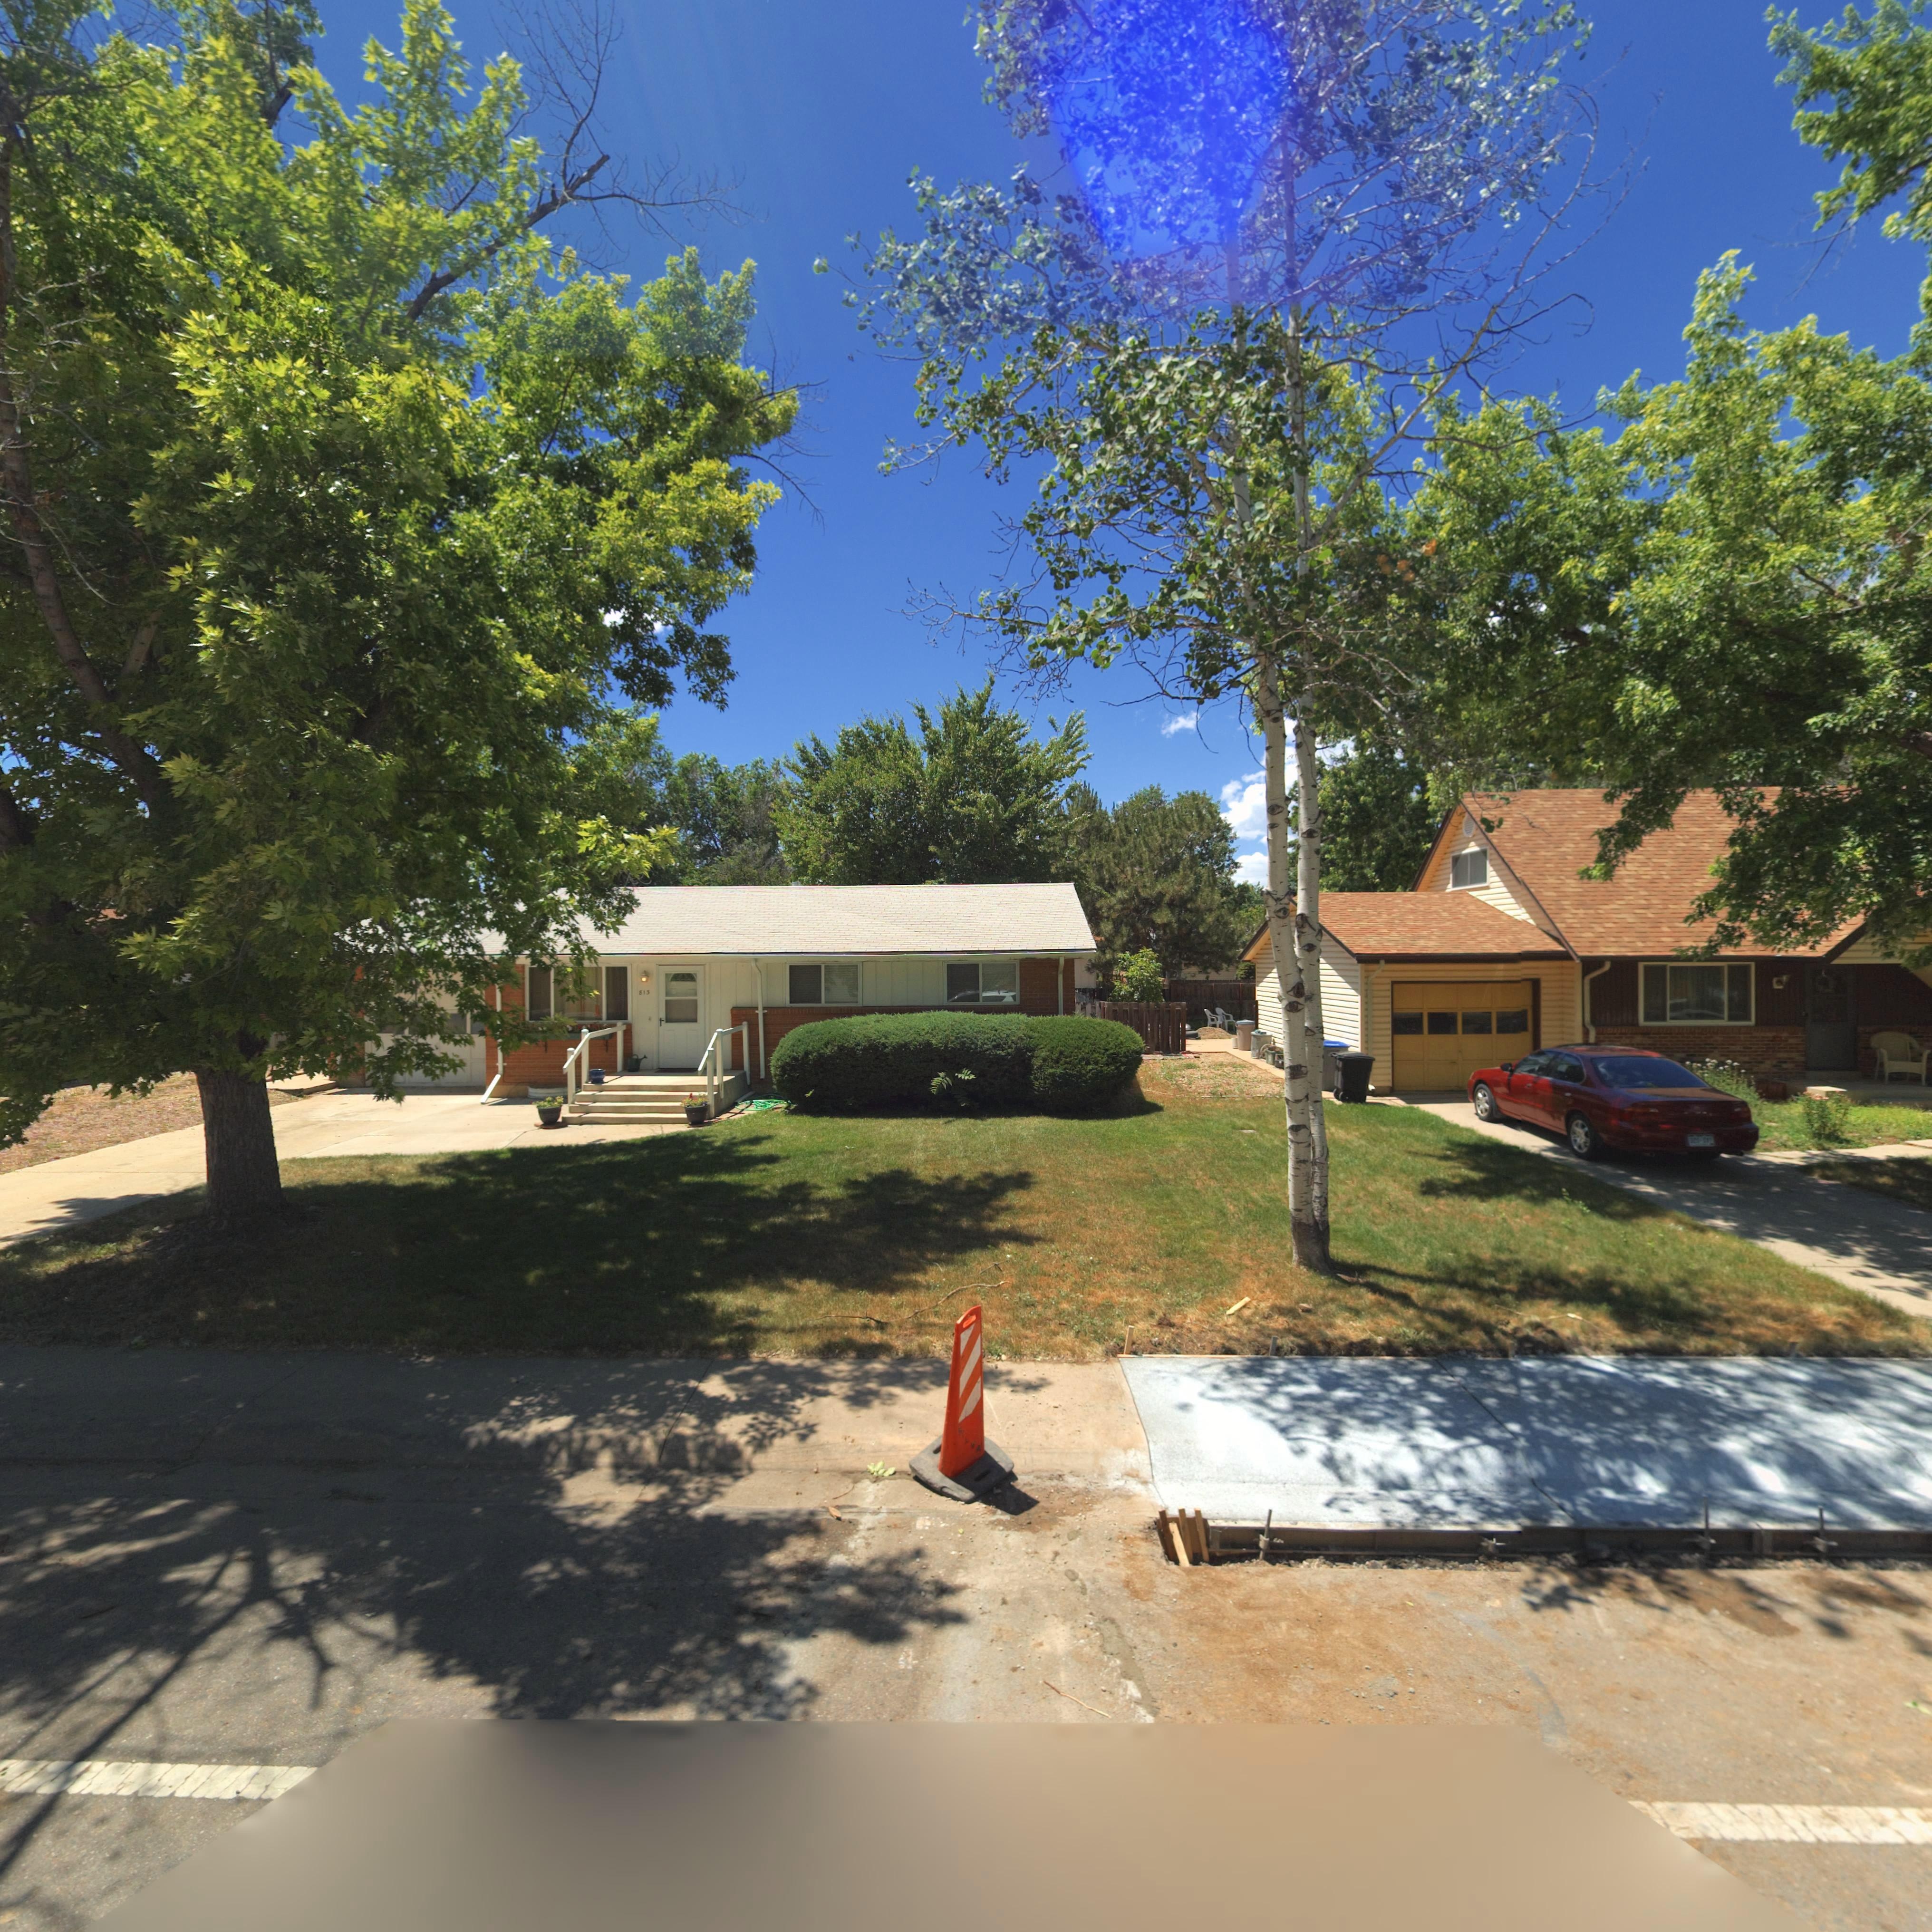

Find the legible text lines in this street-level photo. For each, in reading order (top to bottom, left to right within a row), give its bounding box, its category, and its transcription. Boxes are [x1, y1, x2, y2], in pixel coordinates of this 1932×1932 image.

[638, 989, 650, 995] StreetNumber: 815